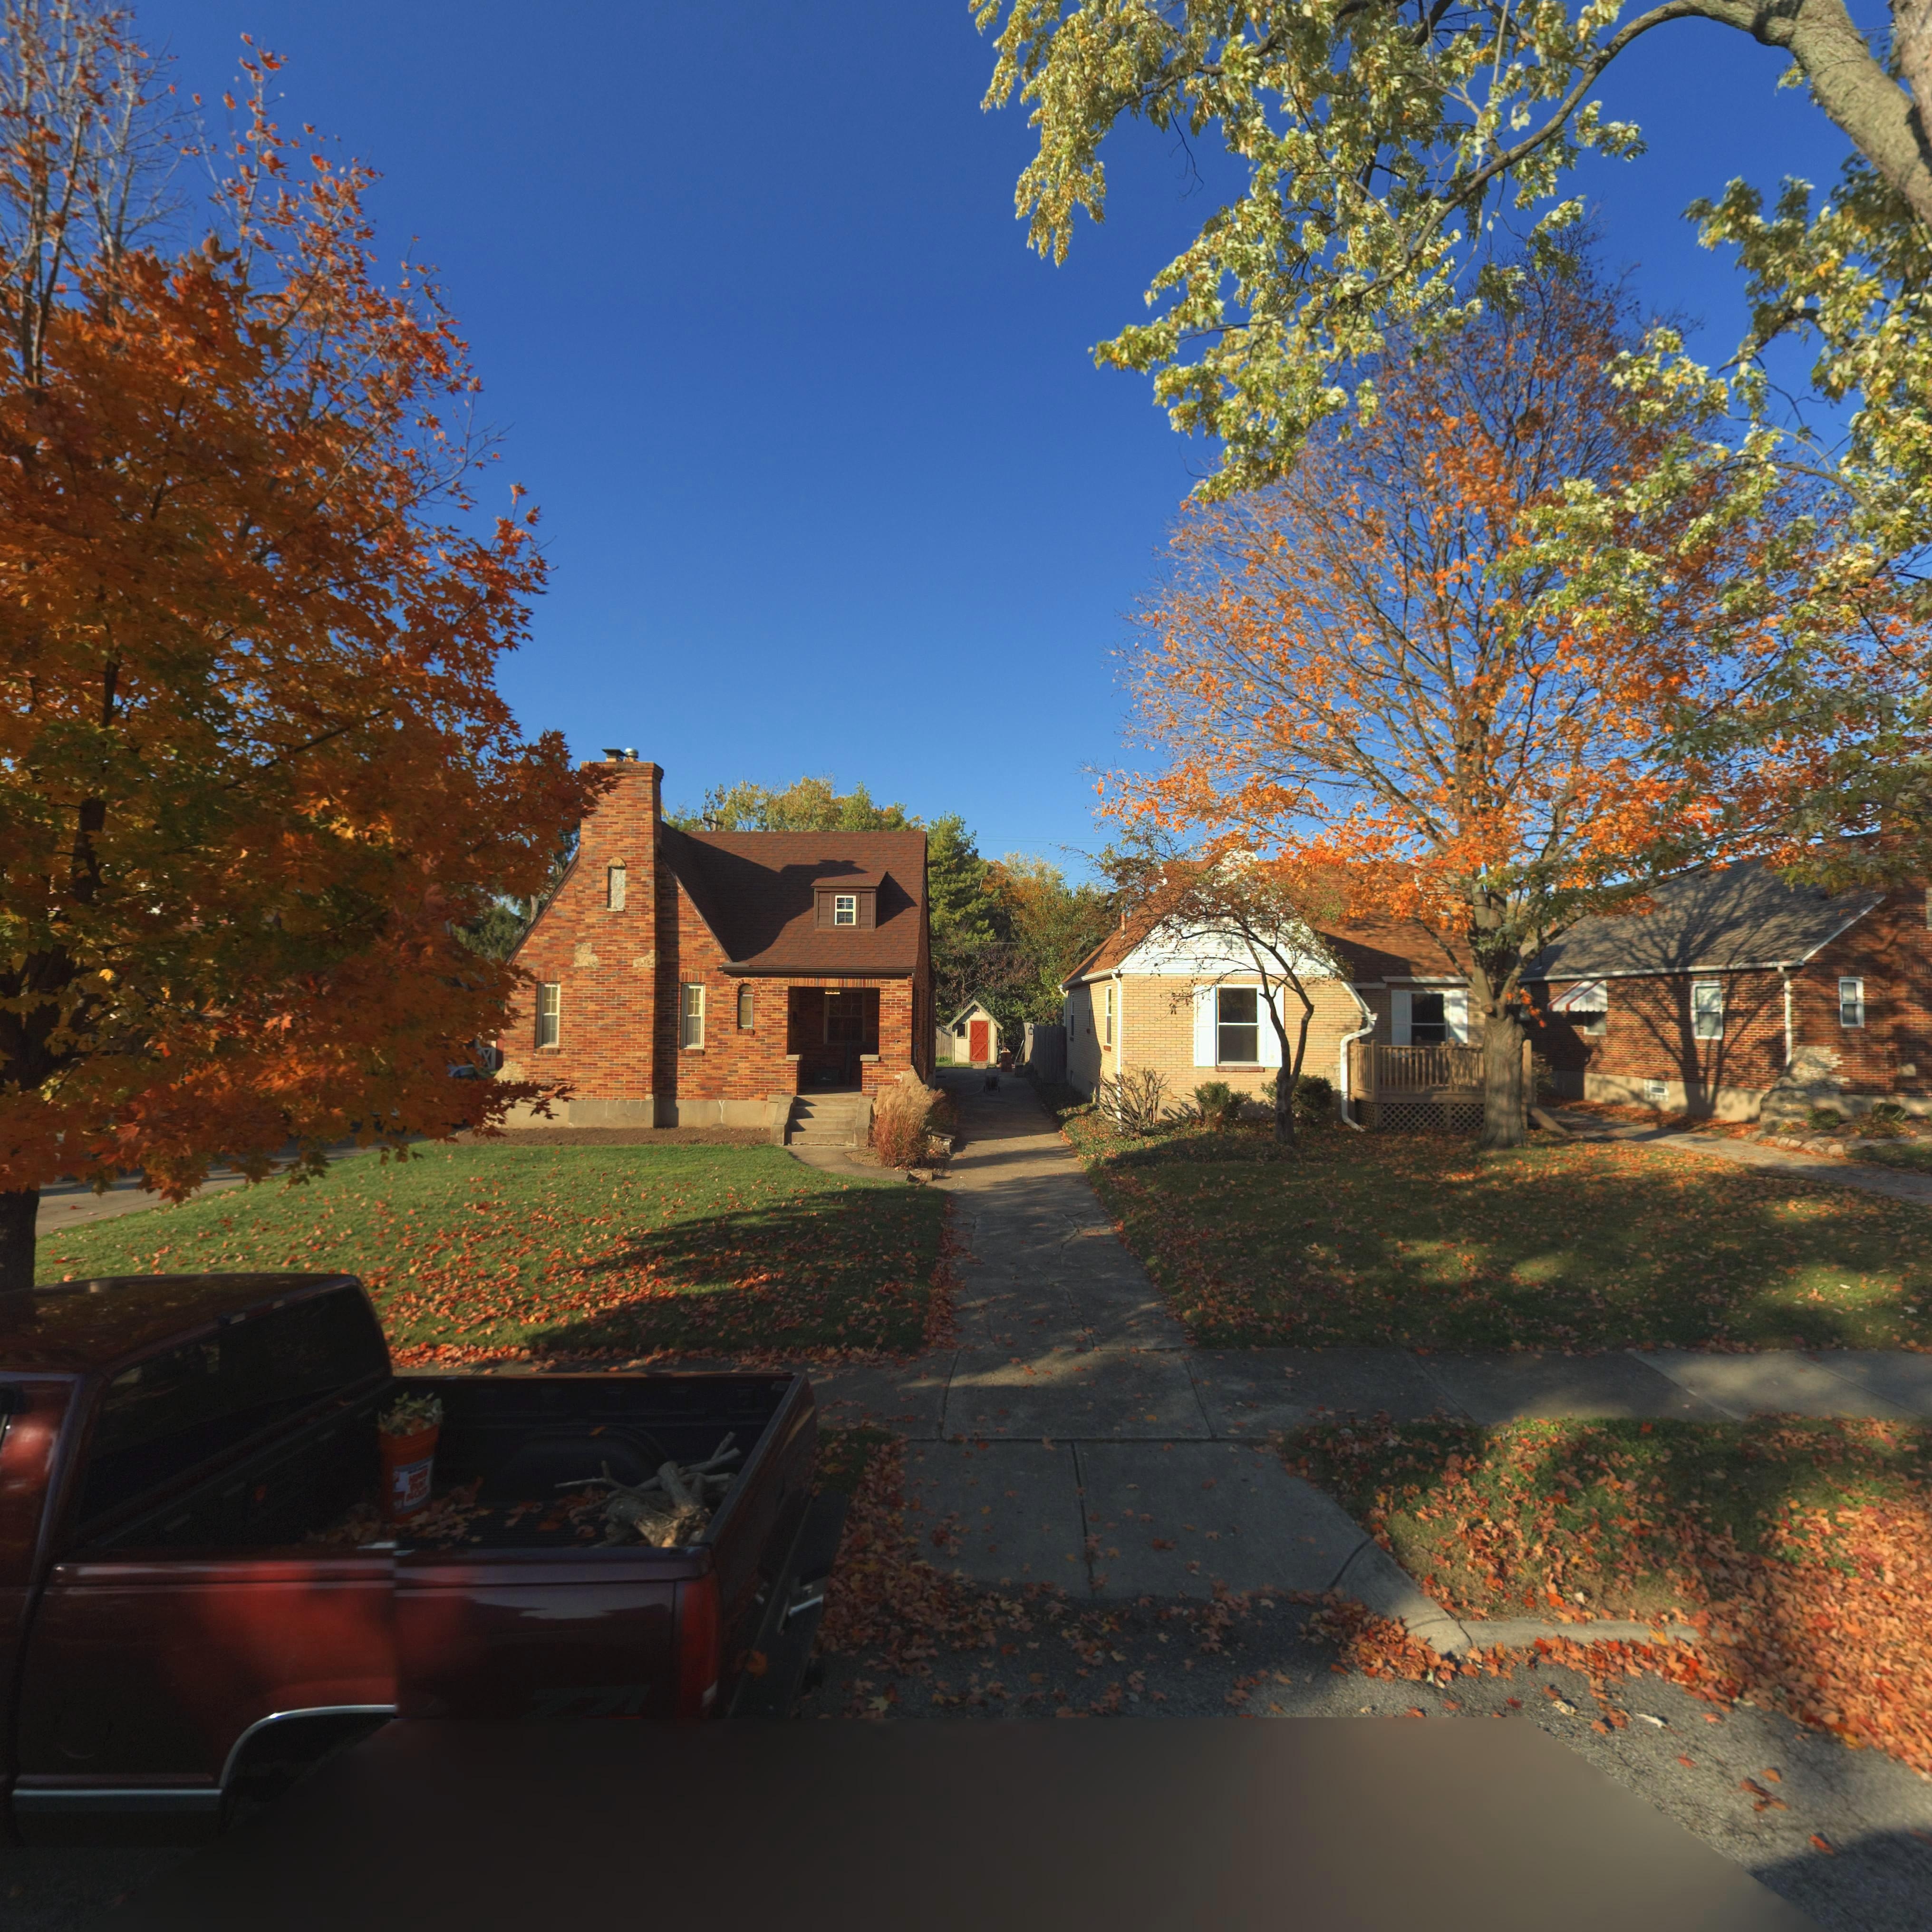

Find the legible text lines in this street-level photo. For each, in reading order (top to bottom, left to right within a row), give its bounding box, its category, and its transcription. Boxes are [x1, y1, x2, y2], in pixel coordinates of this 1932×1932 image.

[827, 988, 839, 995] StreetNumber: 221